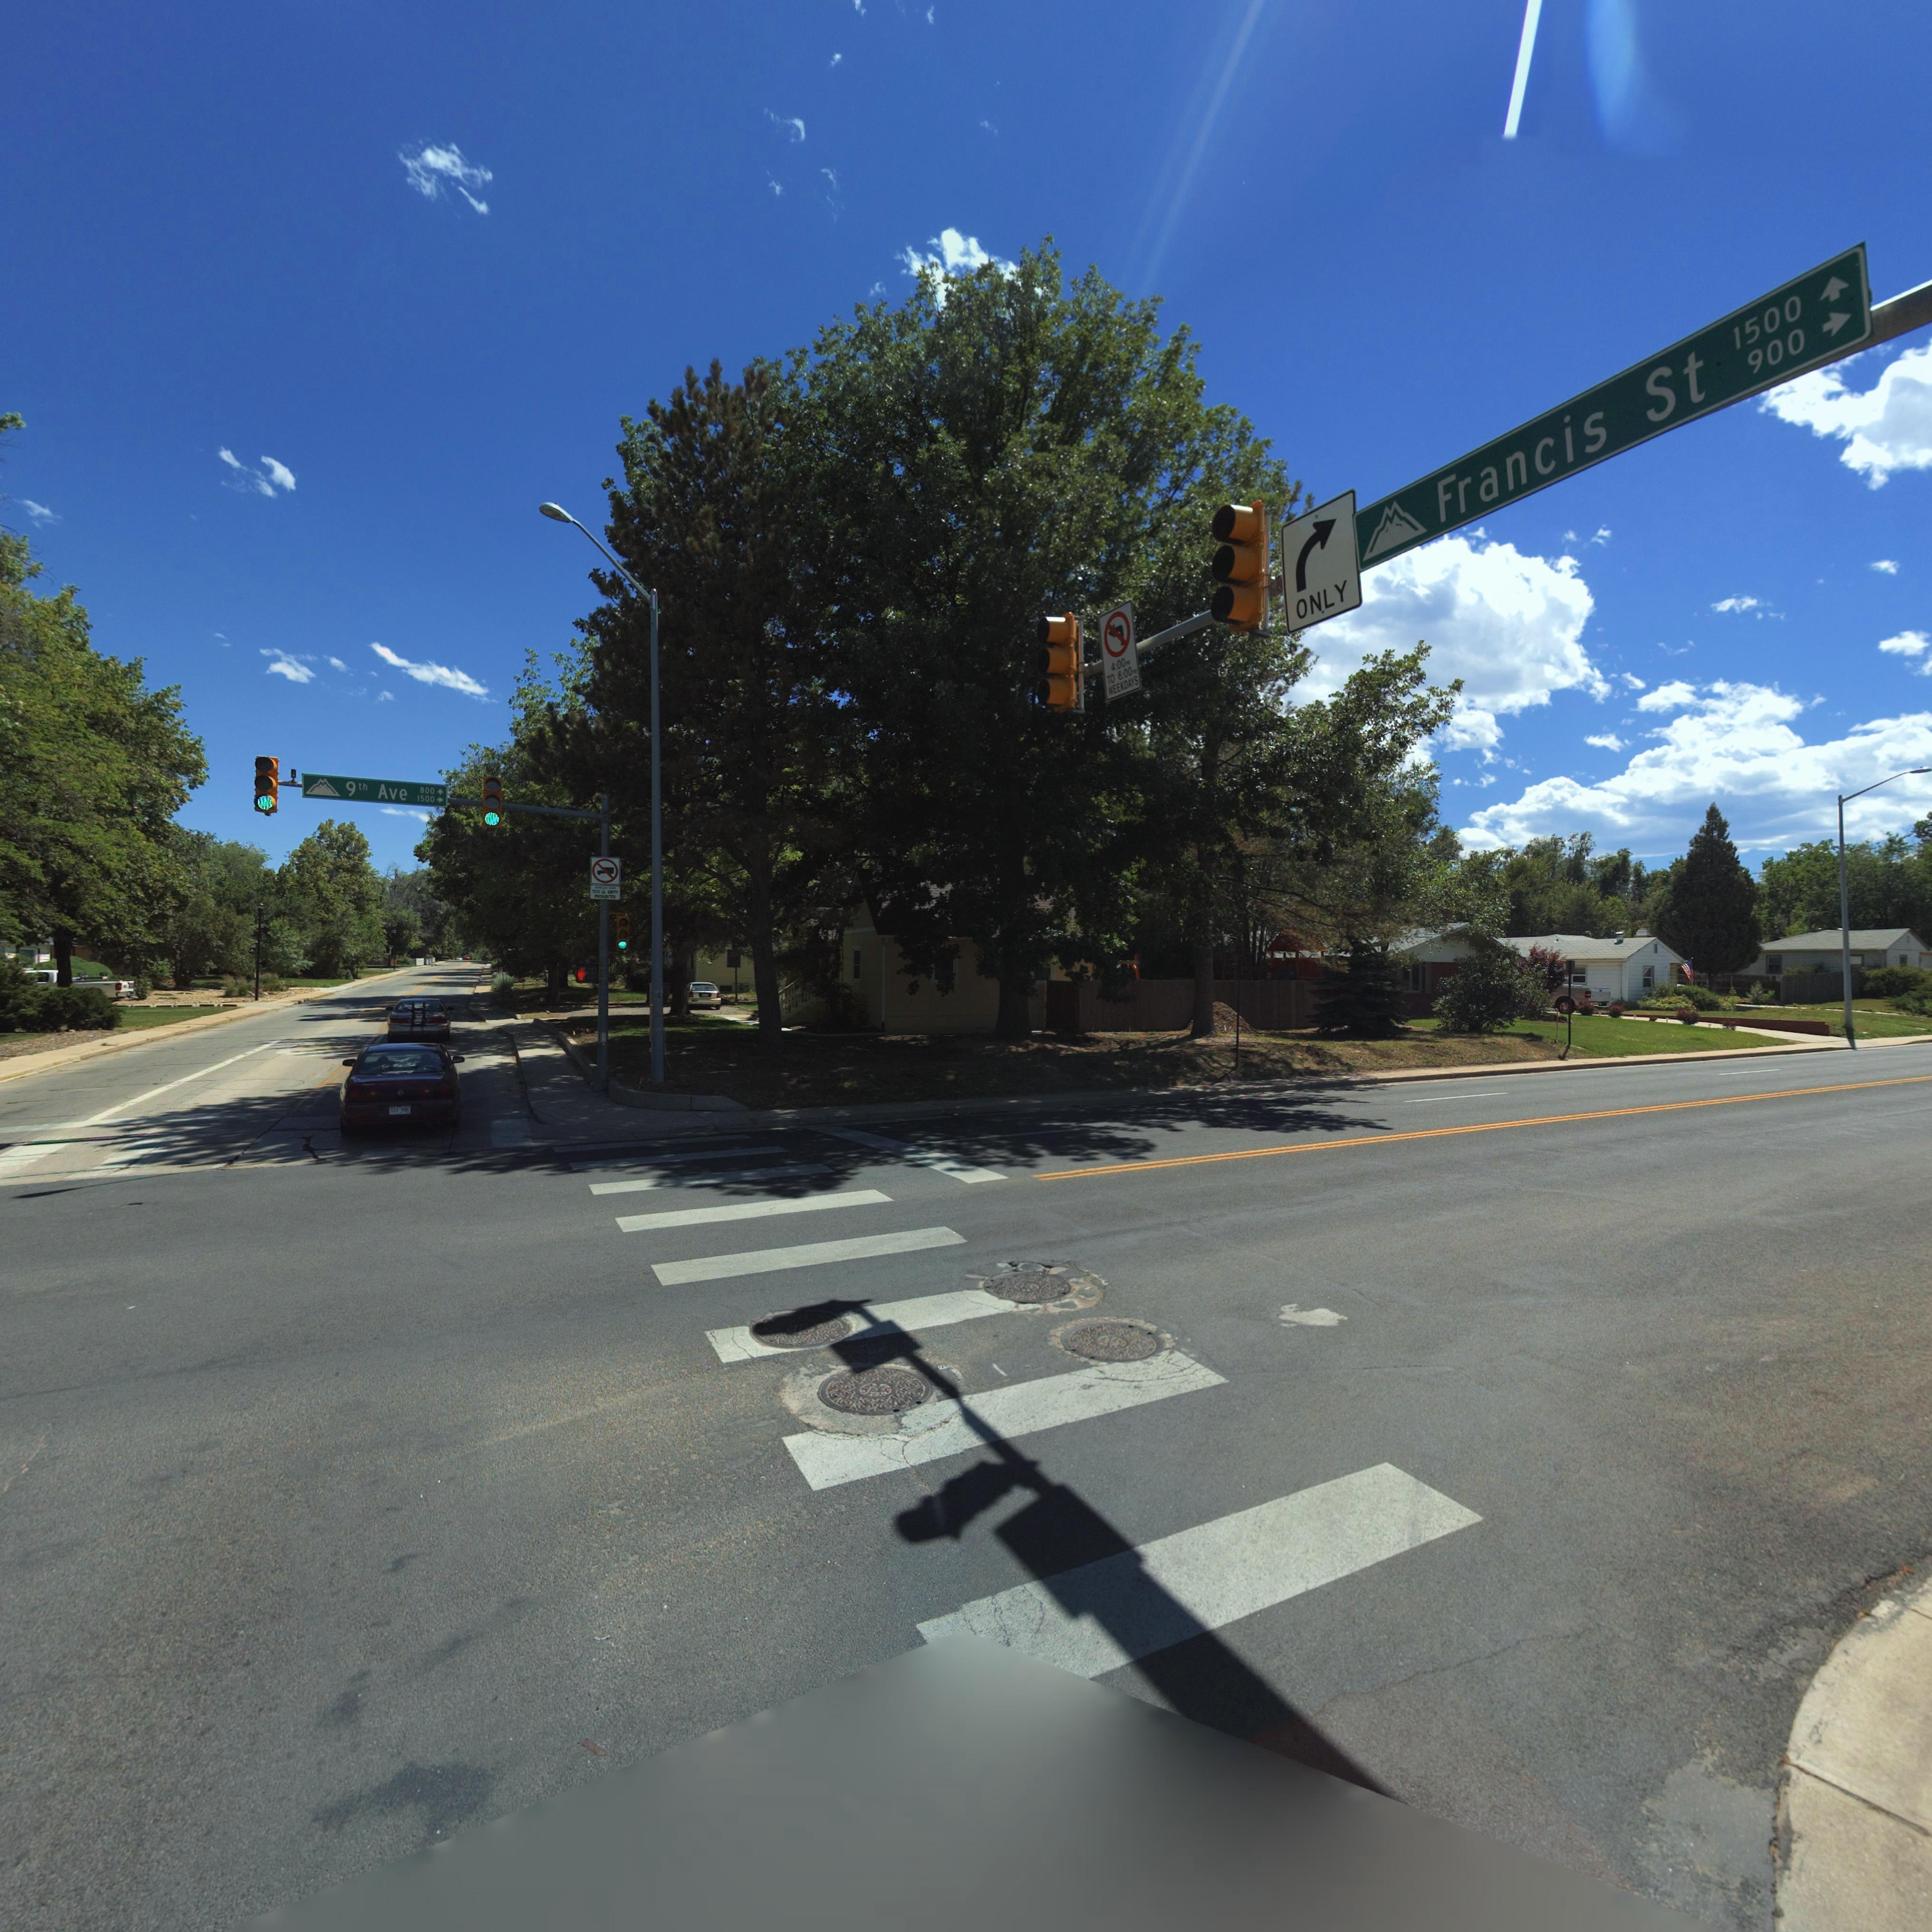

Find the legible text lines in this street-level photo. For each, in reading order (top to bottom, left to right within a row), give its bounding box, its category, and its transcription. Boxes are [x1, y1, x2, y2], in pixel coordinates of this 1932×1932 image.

[1732, 295, 1801, 350] StreetNumberRange: 1500
[1747, 312, 1853, 374] StreetNumberRange: 900->
[1437, 348, 1706, 523] StreetName: Francis St
[345, 781, 407, 801] StreetName: 9th Ave
[420, 787, 435, 794] StreetNumberRange: 800
[417, 794, 444, 802] StreetNumberRange: 1500->